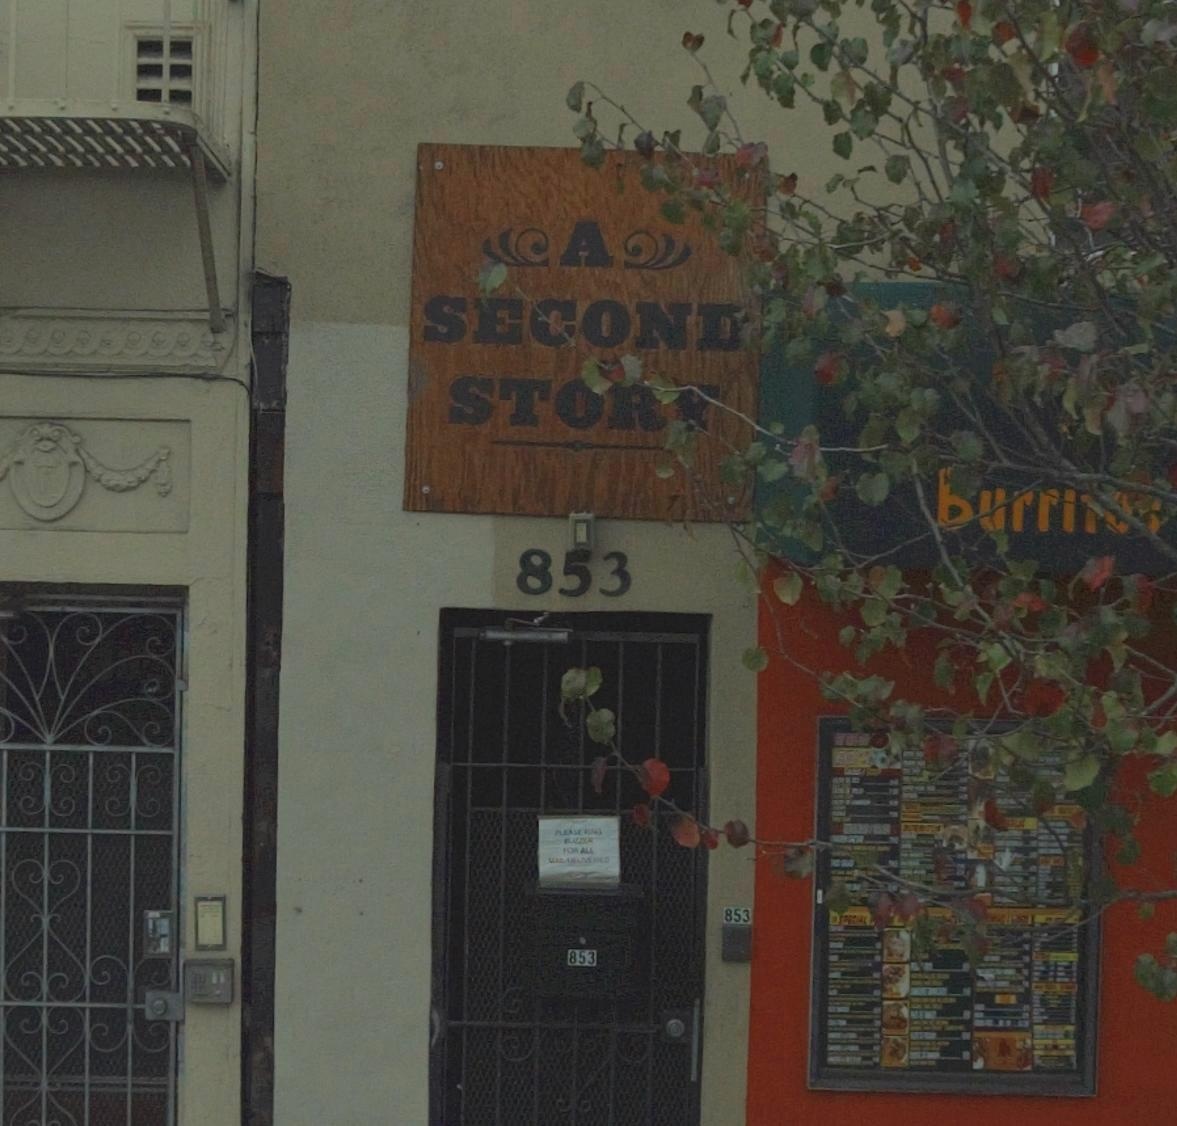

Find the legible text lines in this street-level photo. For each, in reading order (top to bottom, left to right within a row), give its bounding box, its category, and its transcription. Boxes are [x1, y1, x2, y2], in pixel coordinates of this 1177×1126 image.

[557, 220, 615, 270] BusinessName: A
[422, 293, 752, 354] BusinessName: SECON*
[446, 376, 721, 435] BusinessName: STOR*
[936, 465, 1167, 542] None: ***r****
[513, 546, 633, 599] StreetNumber: 853
[552, 828, 582, 837] None: PLEASE
[562, 846, 595, 856] None: FOR ALL
[724, 907, 751, 924] StreetNumber: 853
[568, 950, 596, 966] StreetNumber: 853